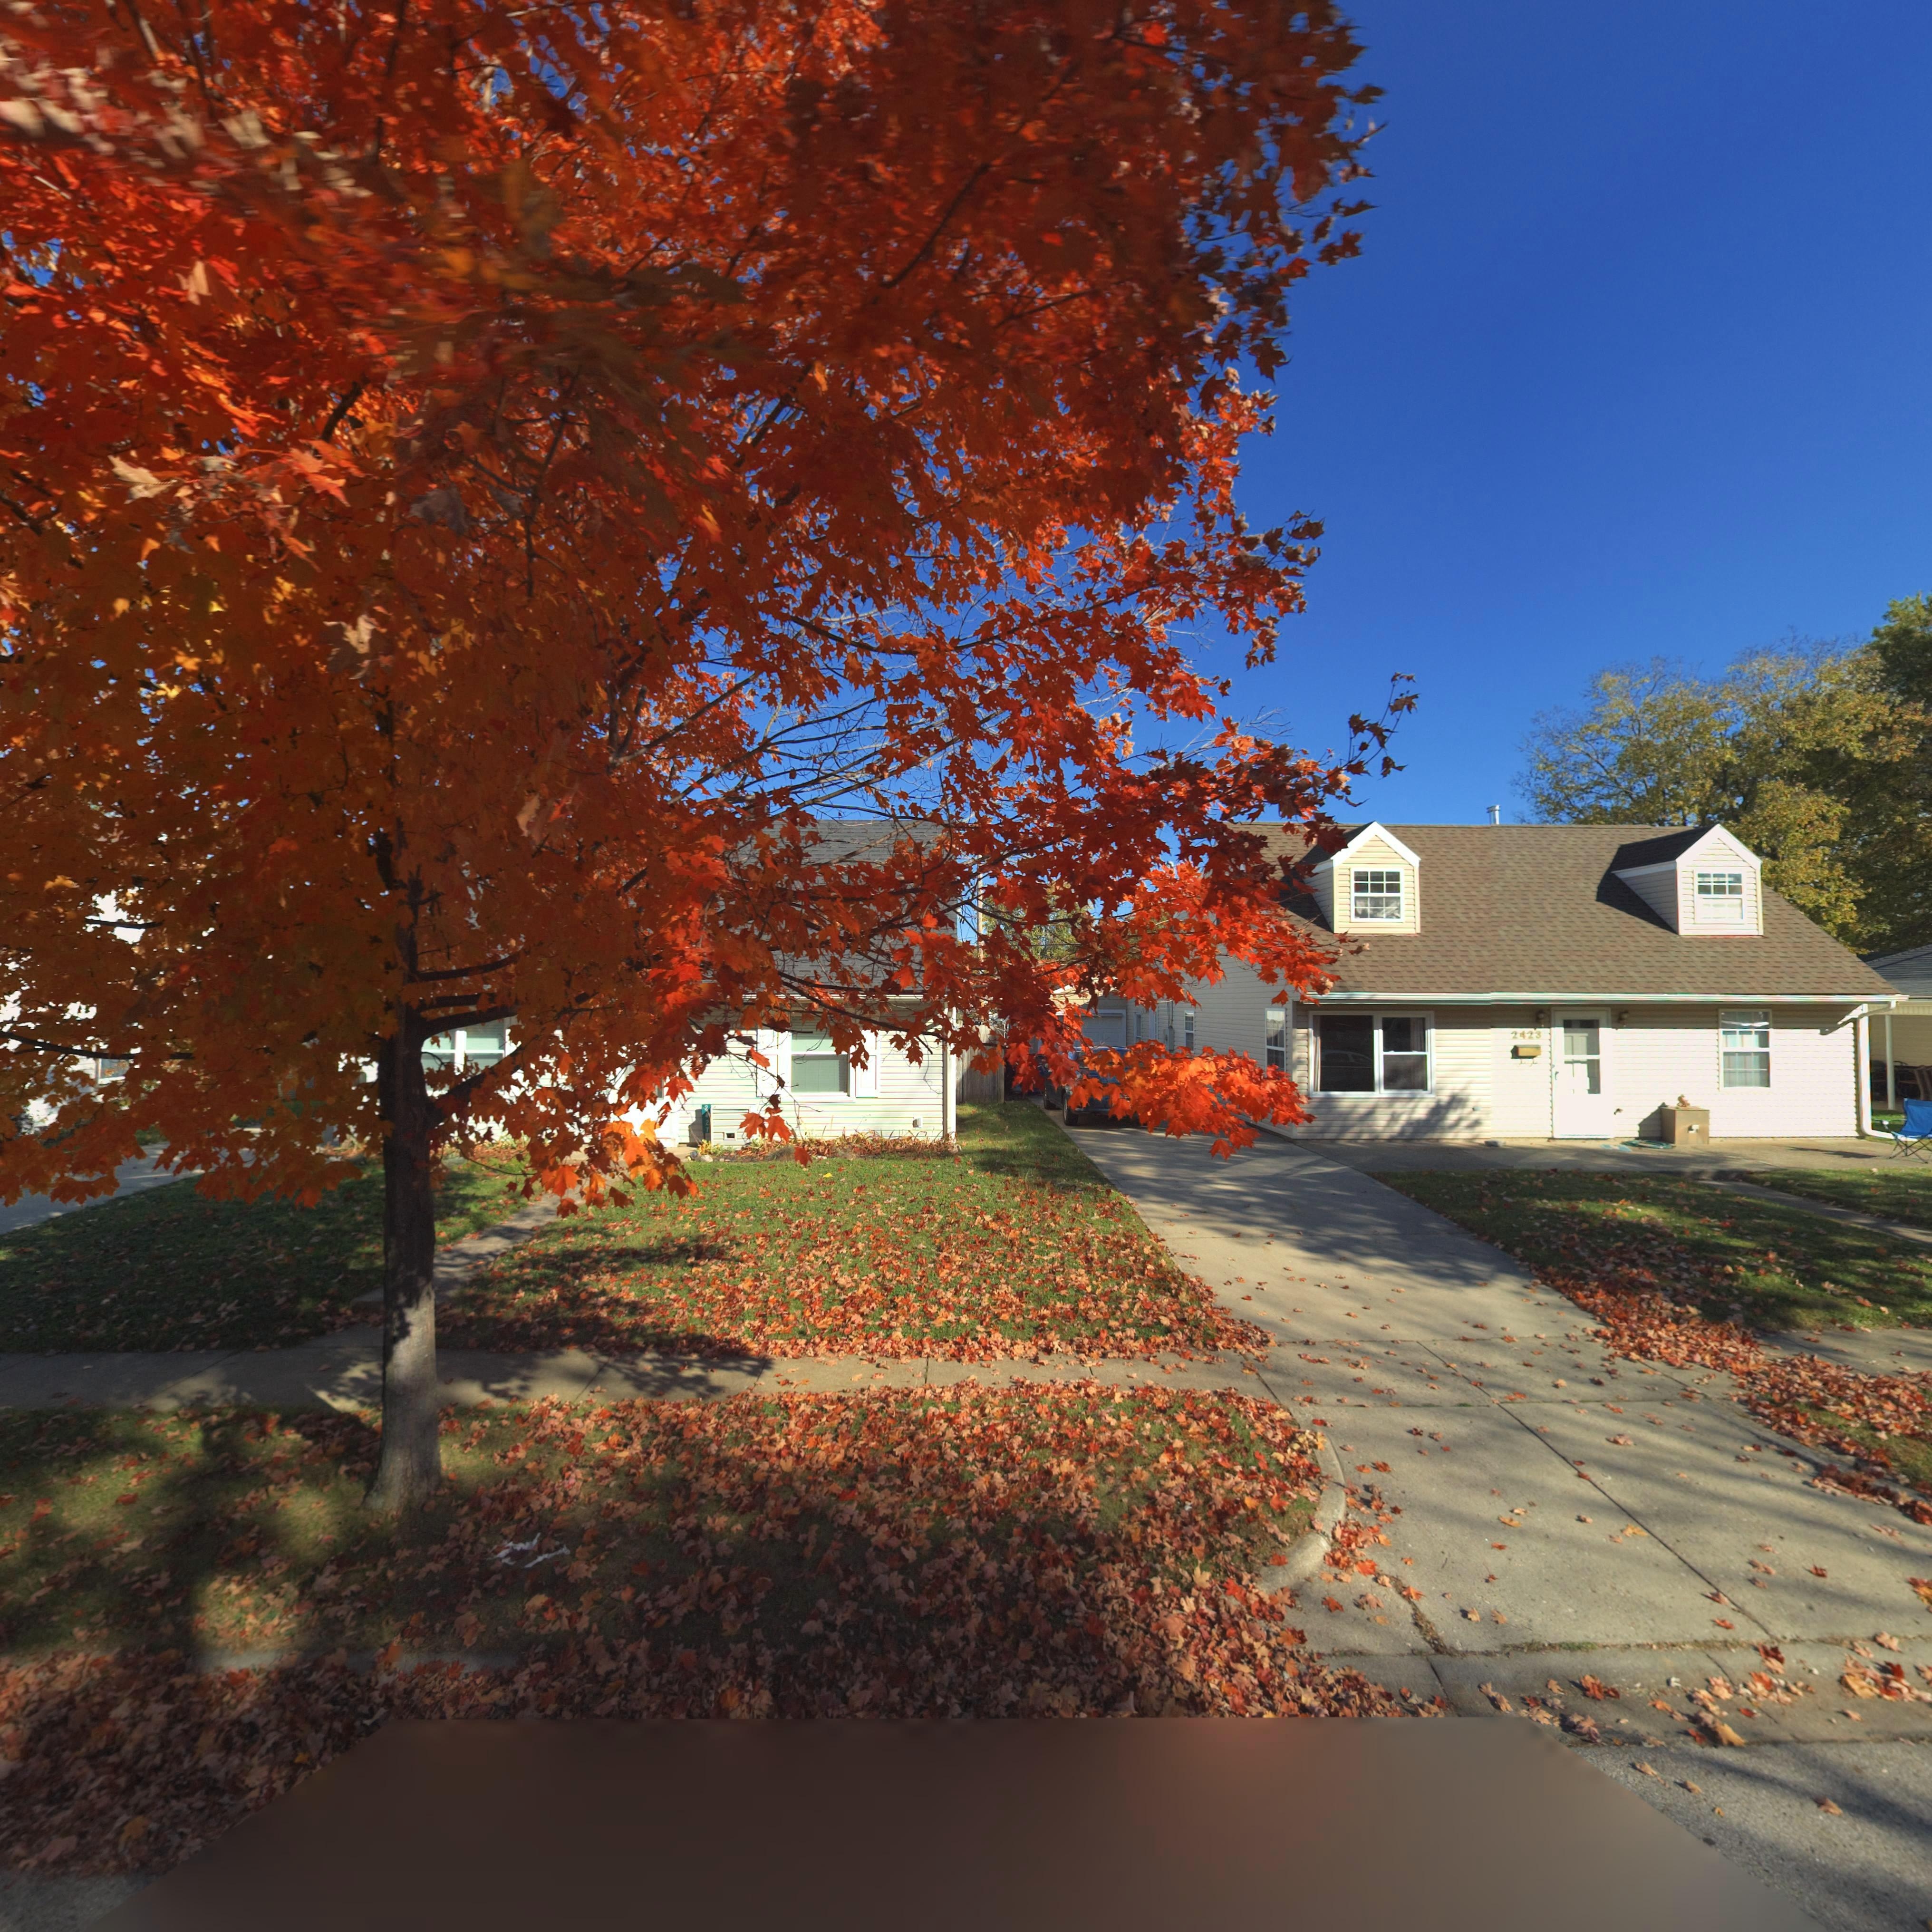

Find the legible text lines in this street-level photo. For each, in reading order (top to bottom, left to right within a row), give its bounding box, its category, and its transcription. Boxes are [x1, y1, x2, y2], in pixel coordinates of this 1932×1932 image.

[1509, 1029, 1543, 1040] StreetNumber: 2423